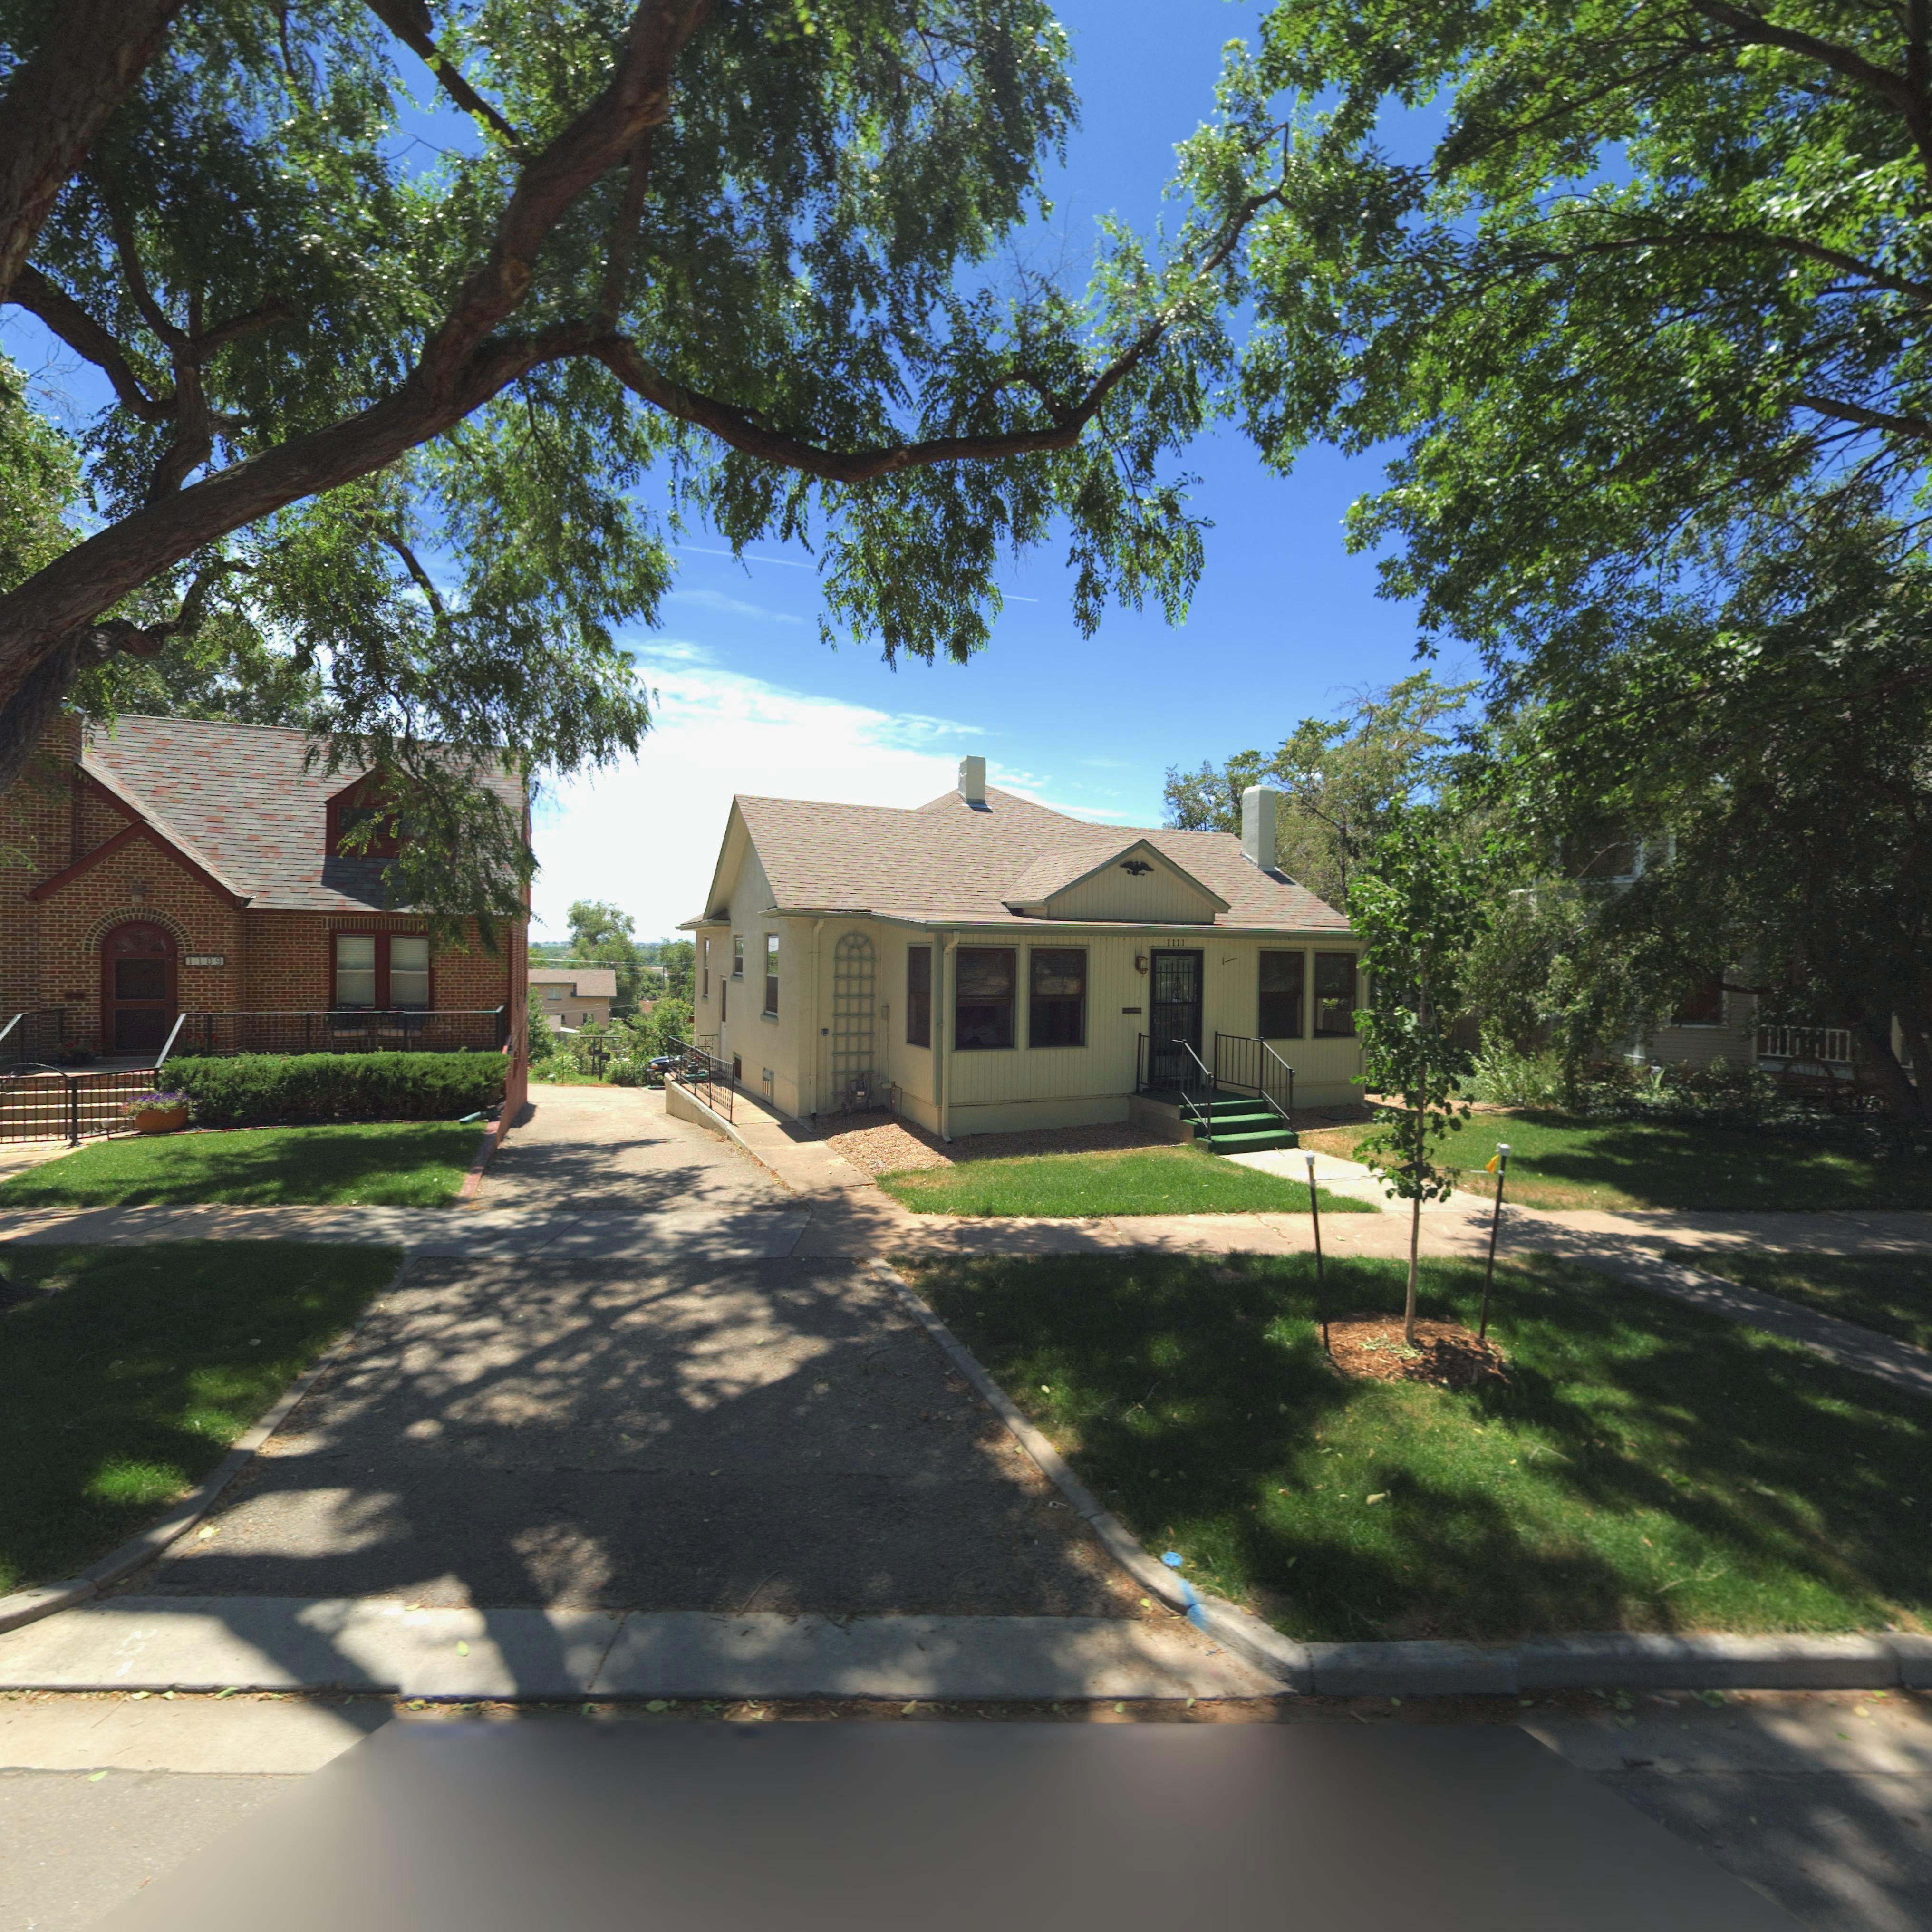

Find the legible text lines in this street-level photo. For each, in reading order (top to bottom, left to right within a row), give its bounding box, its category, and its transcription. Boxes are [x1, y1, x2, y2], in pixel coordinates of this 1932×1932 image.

[1167, 938, 1185, 946] StreetNumber: 1111
[188, 957, 221, 965] StreetNumber: 1109